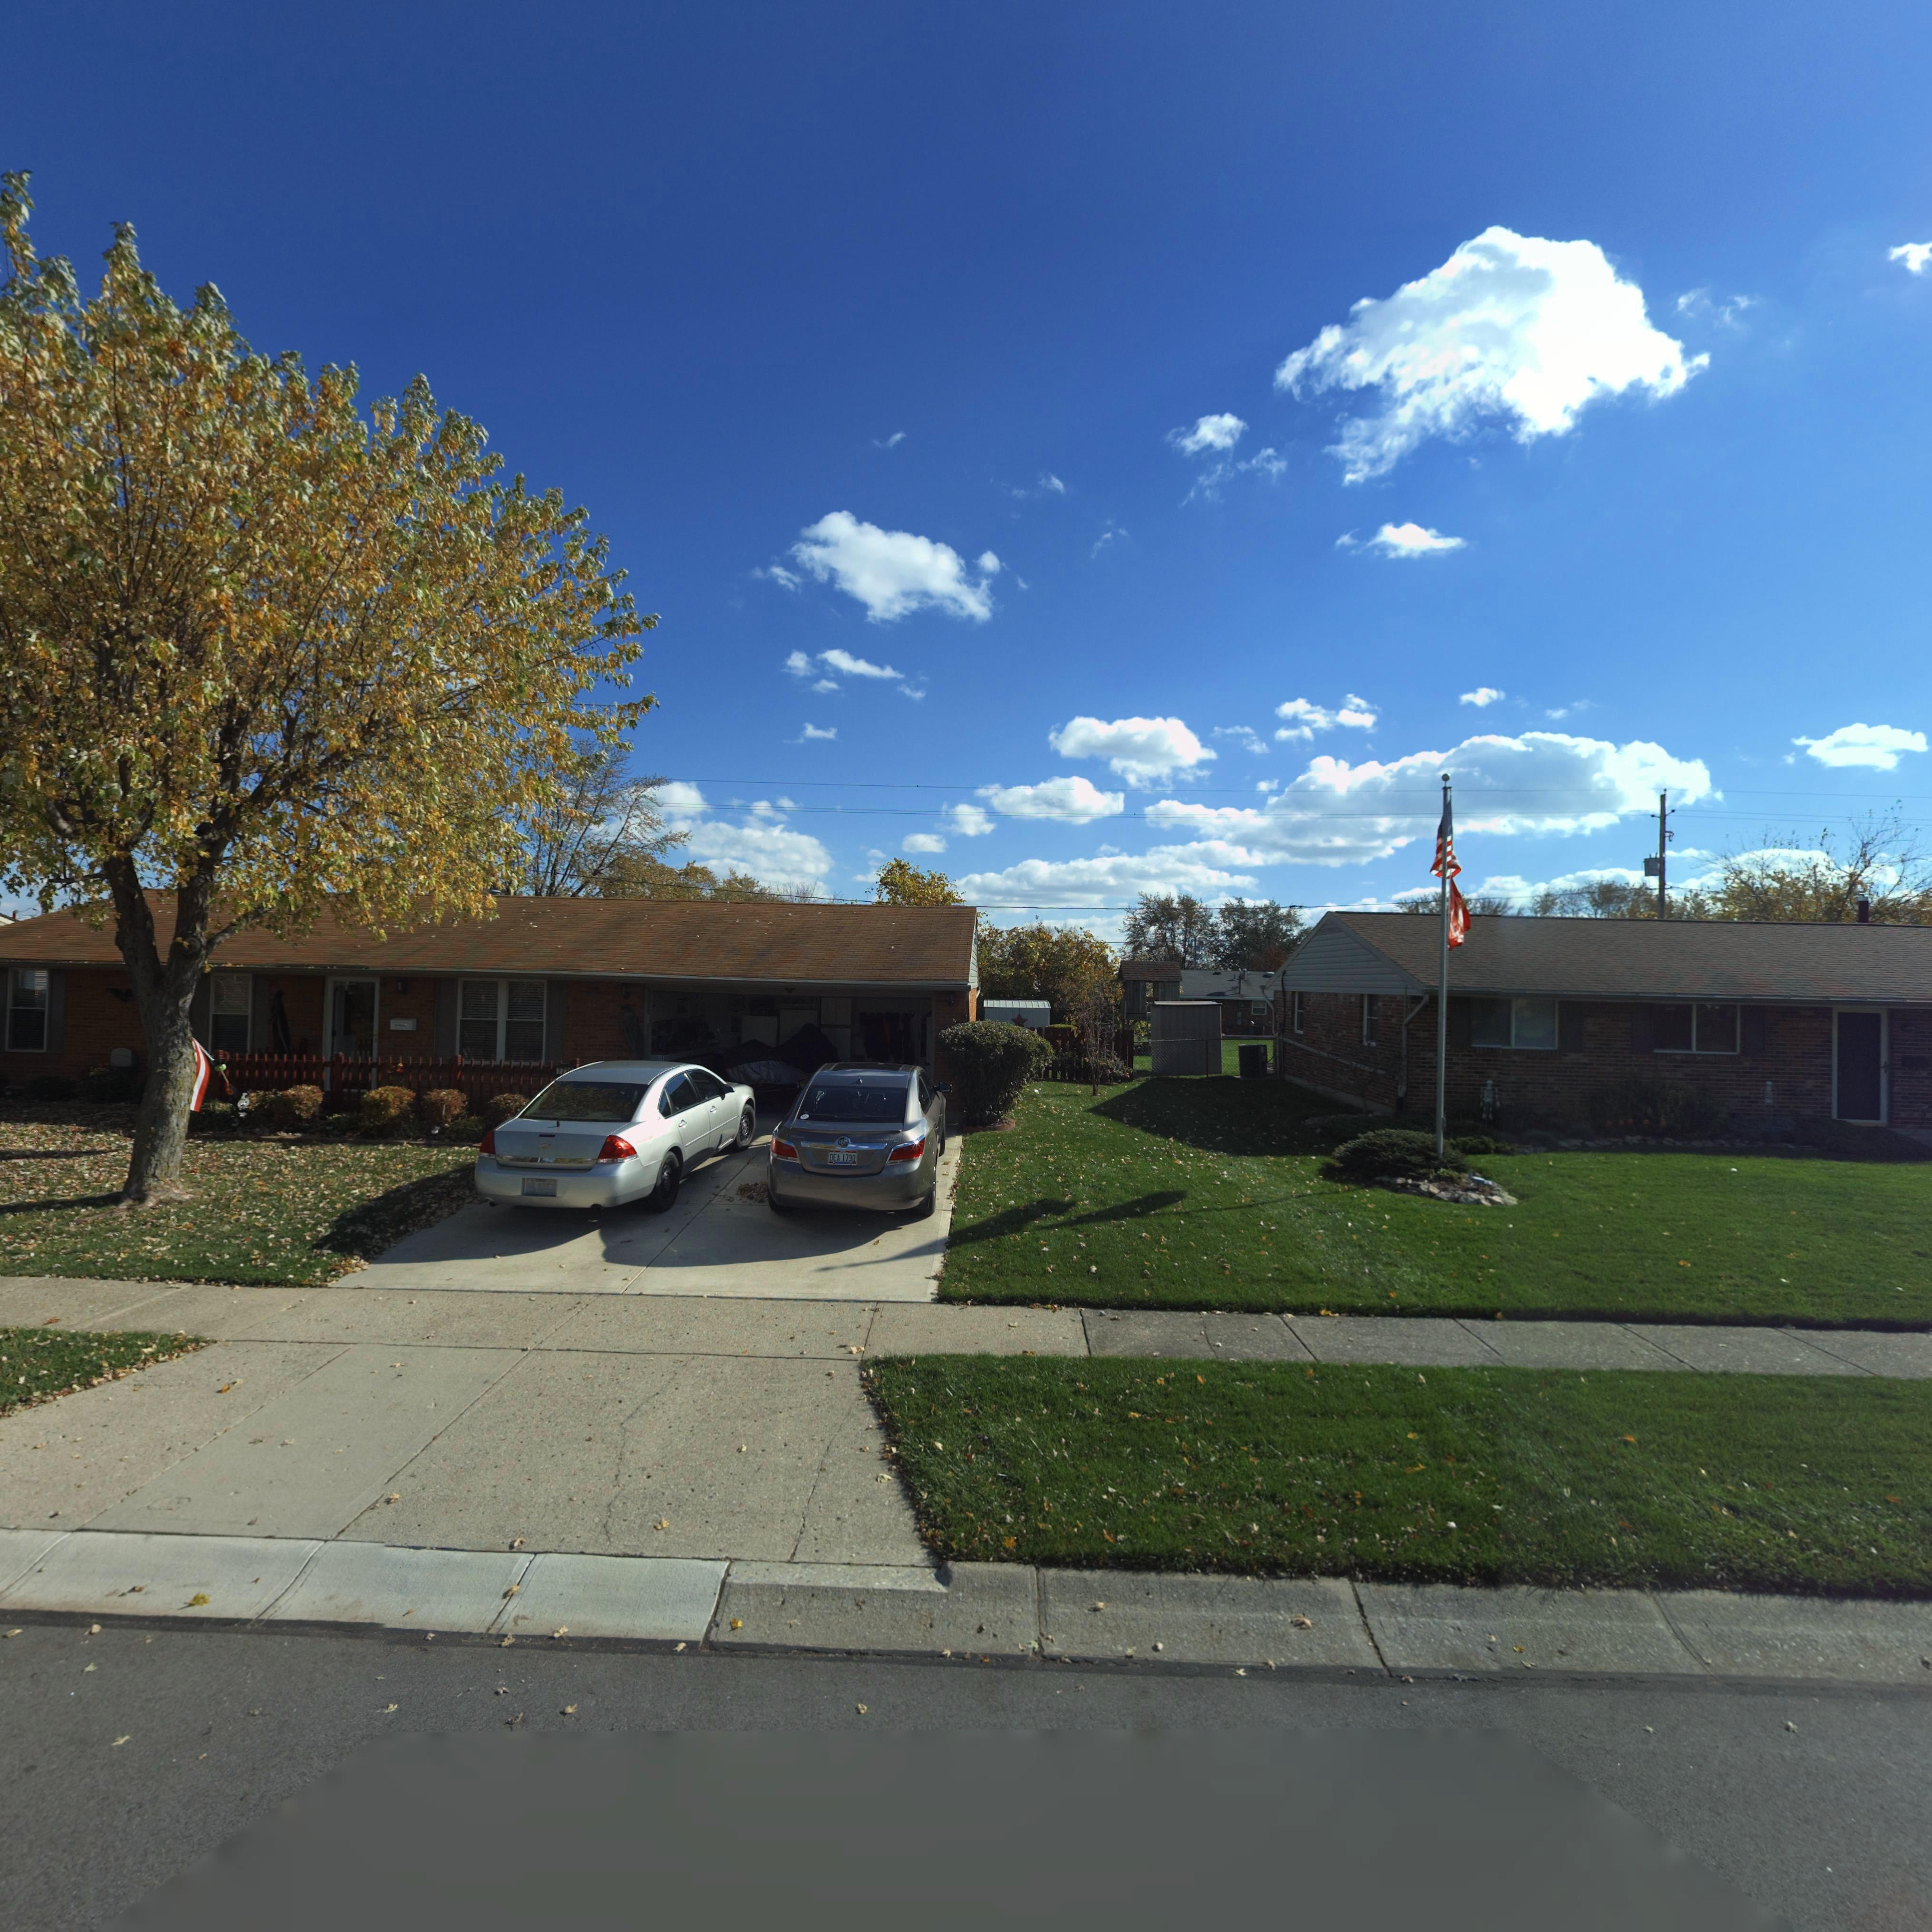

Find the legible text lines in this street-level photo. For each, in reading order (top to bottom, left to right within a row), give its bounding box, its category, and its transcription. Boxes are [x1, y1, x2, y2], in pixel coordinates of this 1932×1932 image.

[557, 1067, 566, 1075] StreetNumber: 77